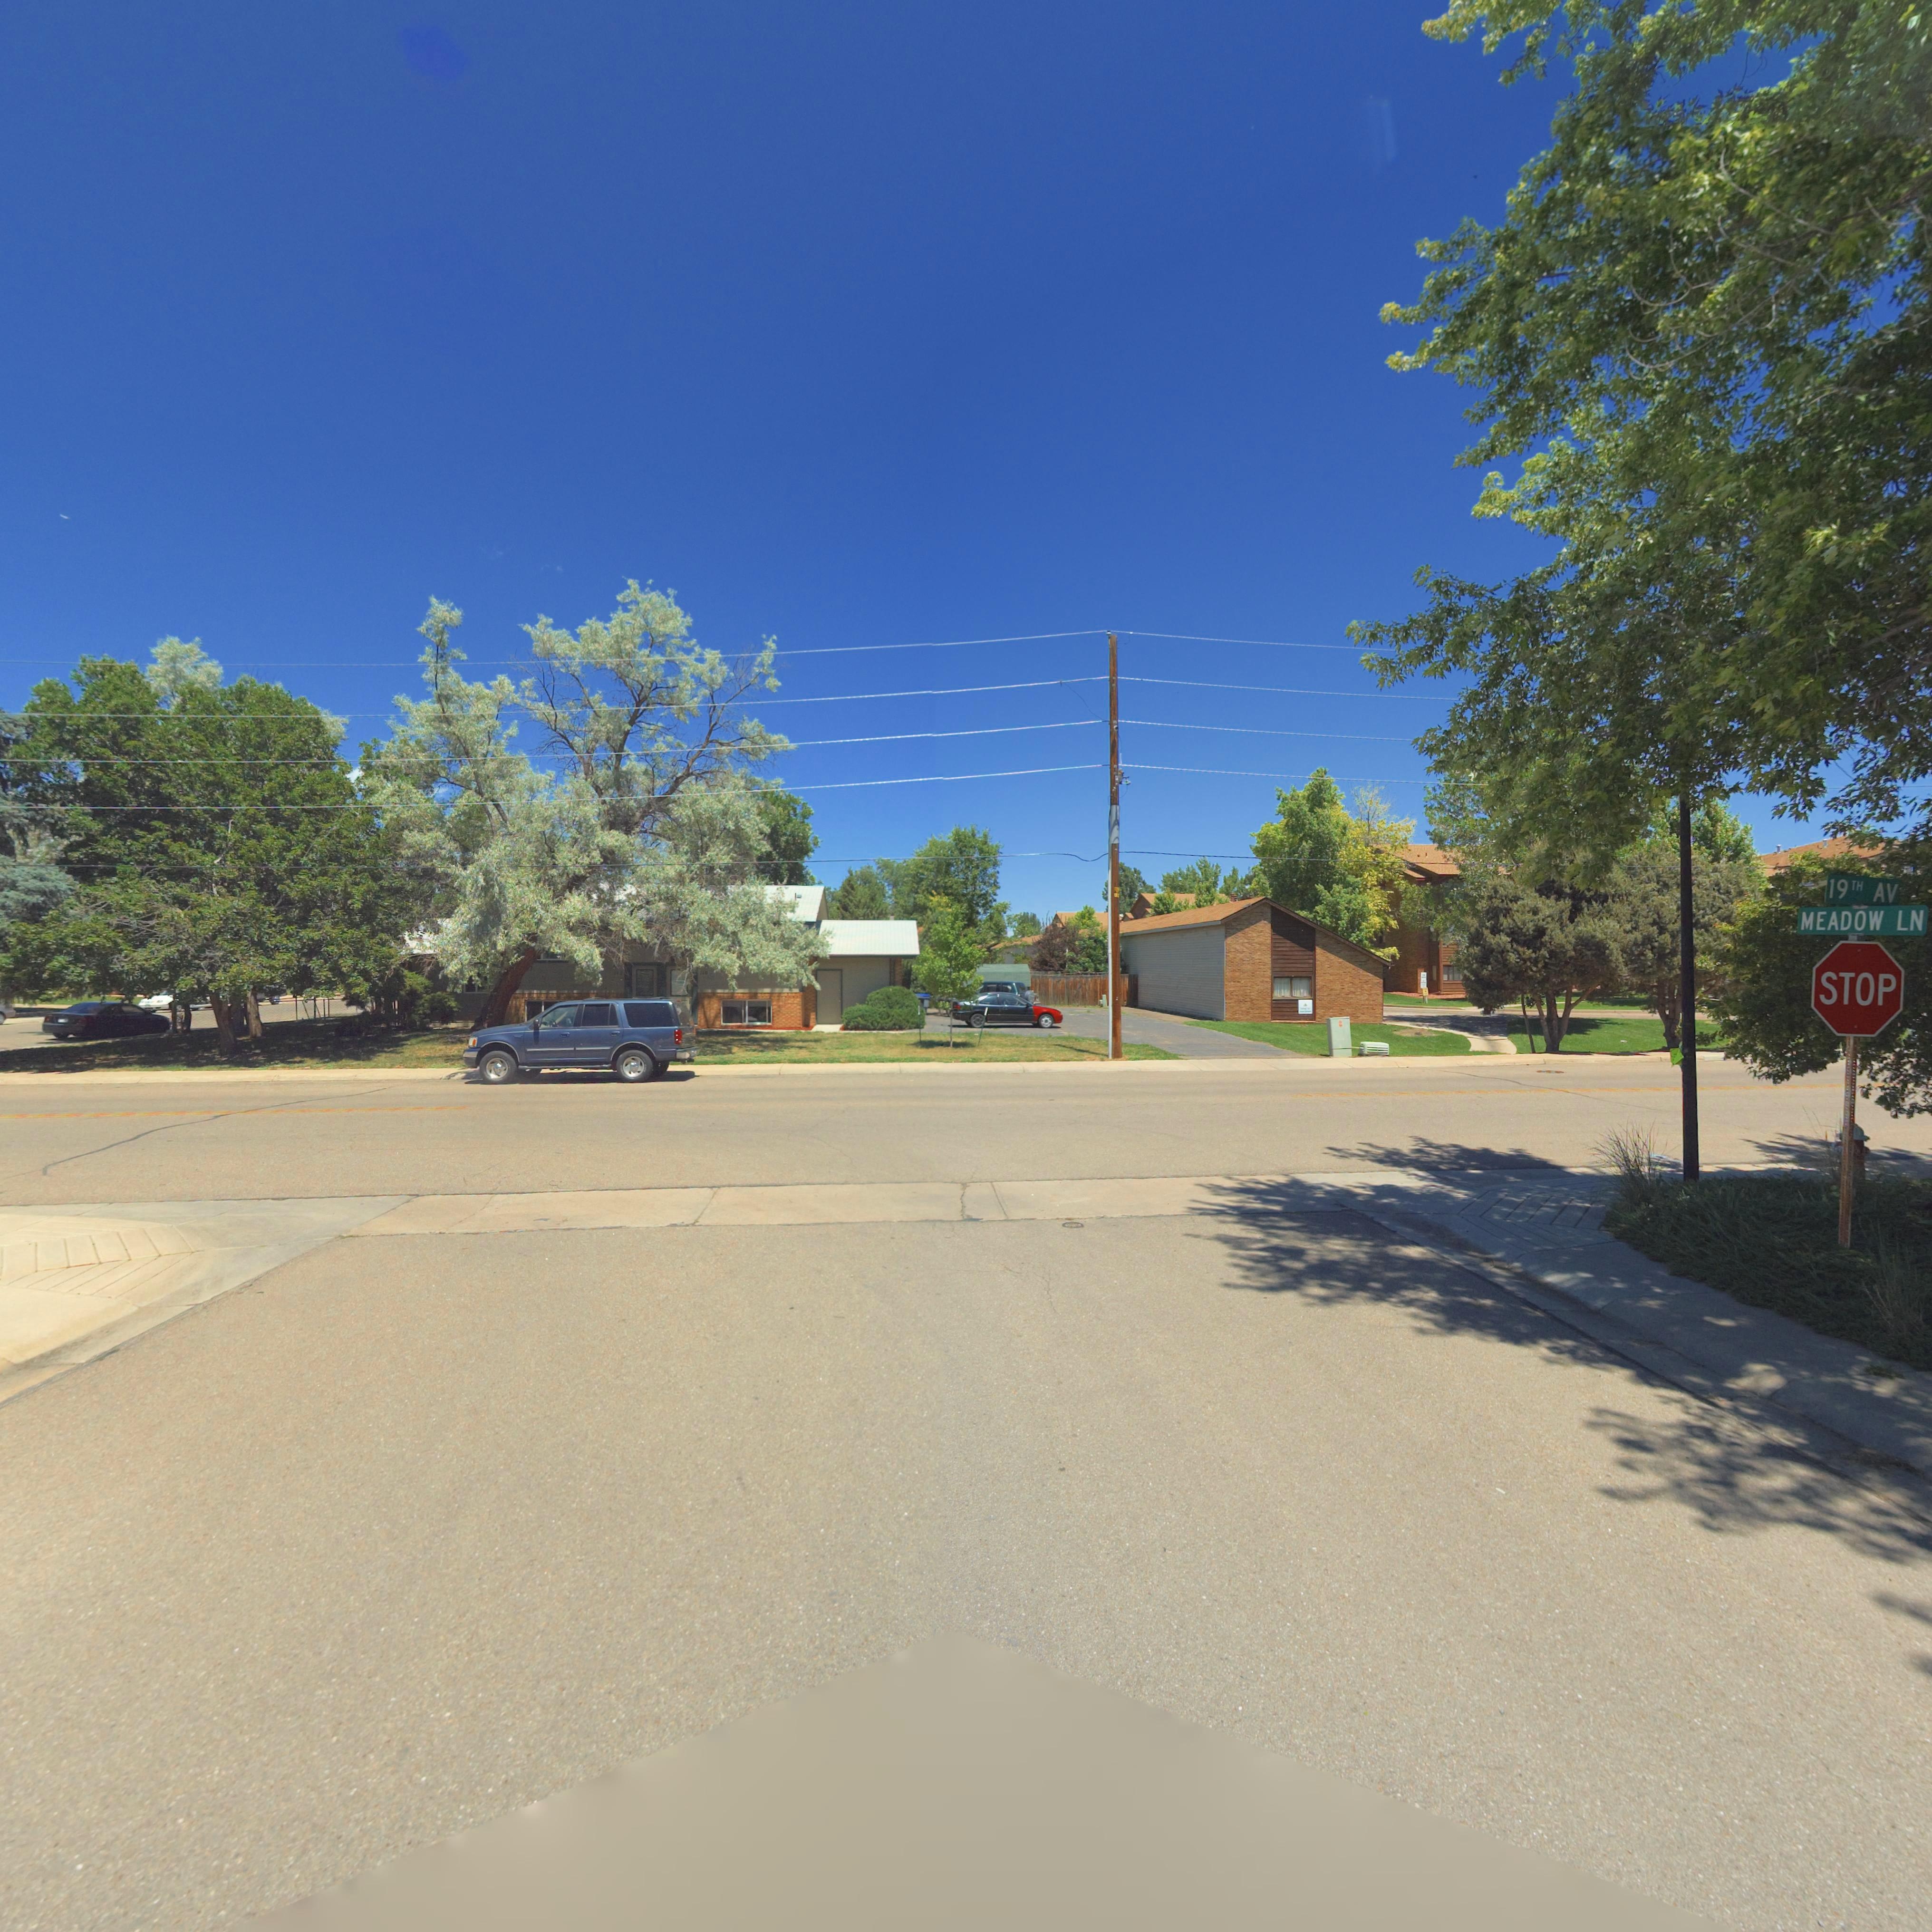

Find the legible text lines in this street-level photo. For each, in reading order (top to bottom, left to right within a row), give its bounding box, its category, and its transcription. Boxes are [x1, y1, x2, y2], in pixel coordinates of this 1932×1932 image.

[1828, 878, 1899, 903] StreetName: 19TH AV
[1800, 909, 1923, 930] StreetName: MEADOW LN